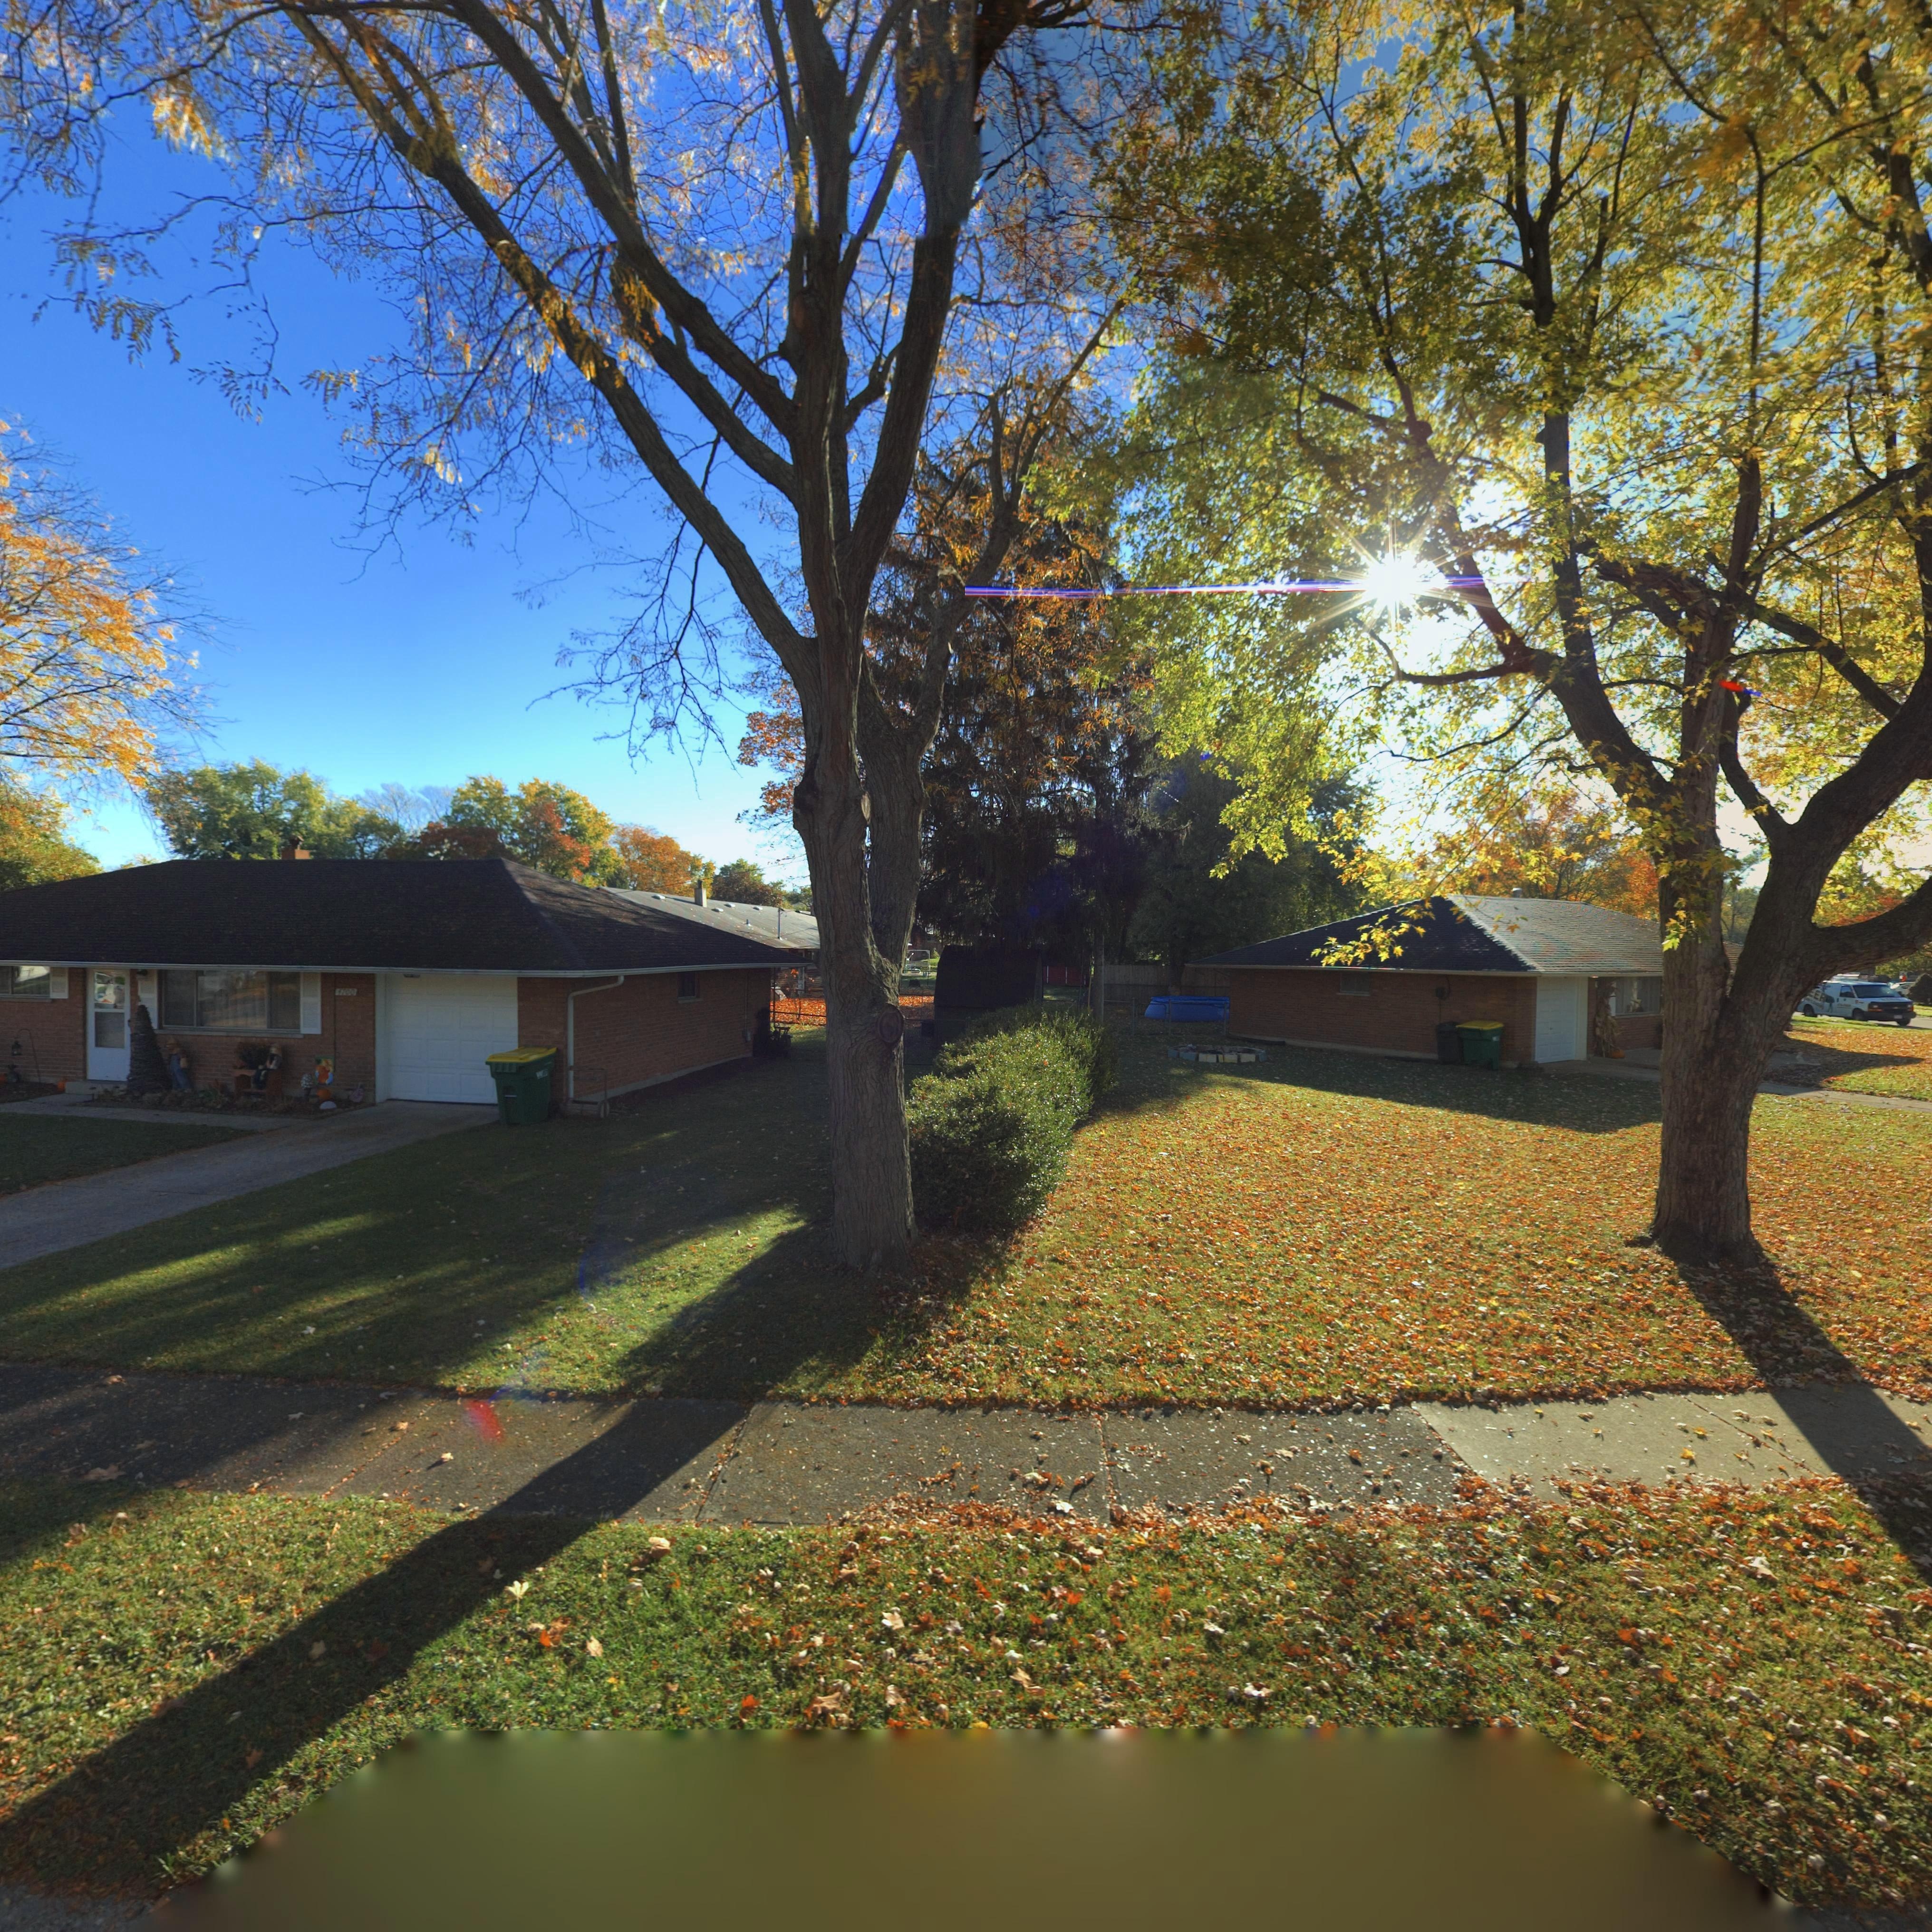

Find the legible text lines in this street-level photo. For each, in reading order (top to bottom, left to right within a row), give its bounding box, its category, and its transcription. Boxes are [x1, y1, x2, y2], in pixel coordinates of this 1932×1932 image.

[337, 987, 356, 996] StreetNumber: 4700